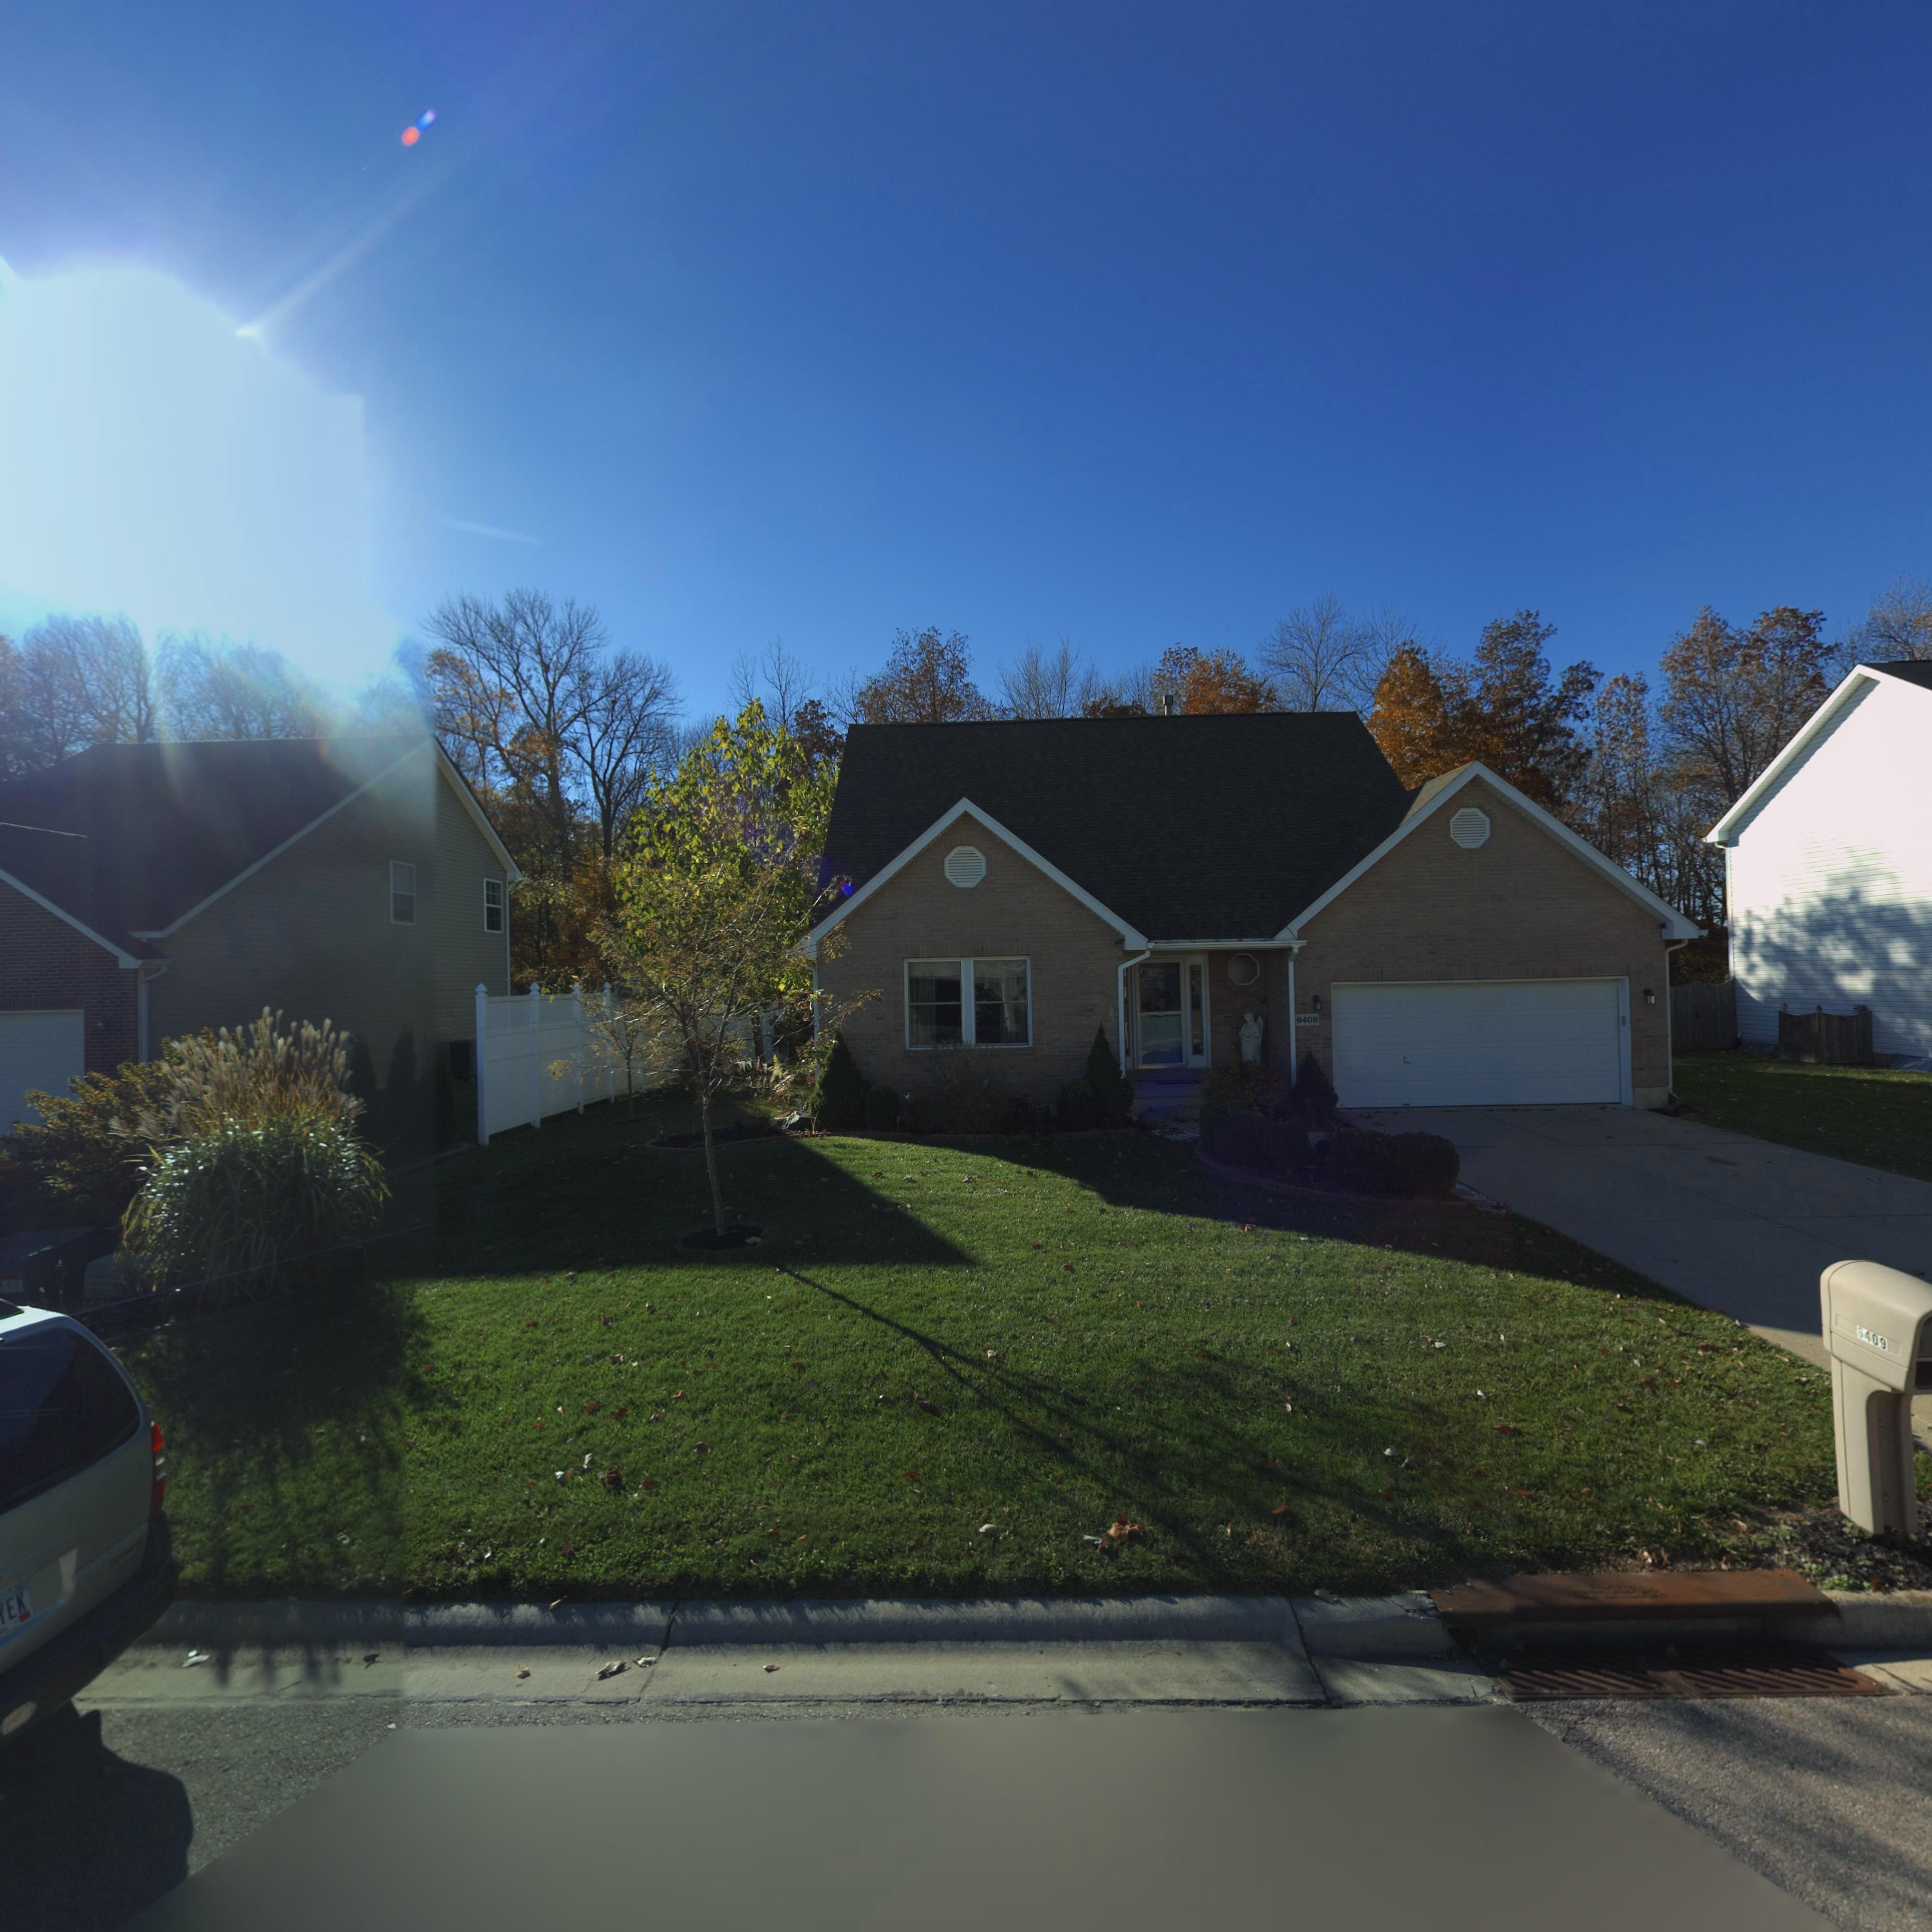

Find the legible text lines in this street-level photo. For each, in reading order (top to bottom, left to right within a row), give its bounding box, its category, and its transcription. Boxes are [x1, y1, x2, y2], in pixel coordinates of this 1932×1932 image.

[1295, 1015, 1319, 1024] StreetNumber: 6409
[1857, 1325, 1888, 1351] StreetNumber: *409
[5, 1591, 29, 1622] None: EK